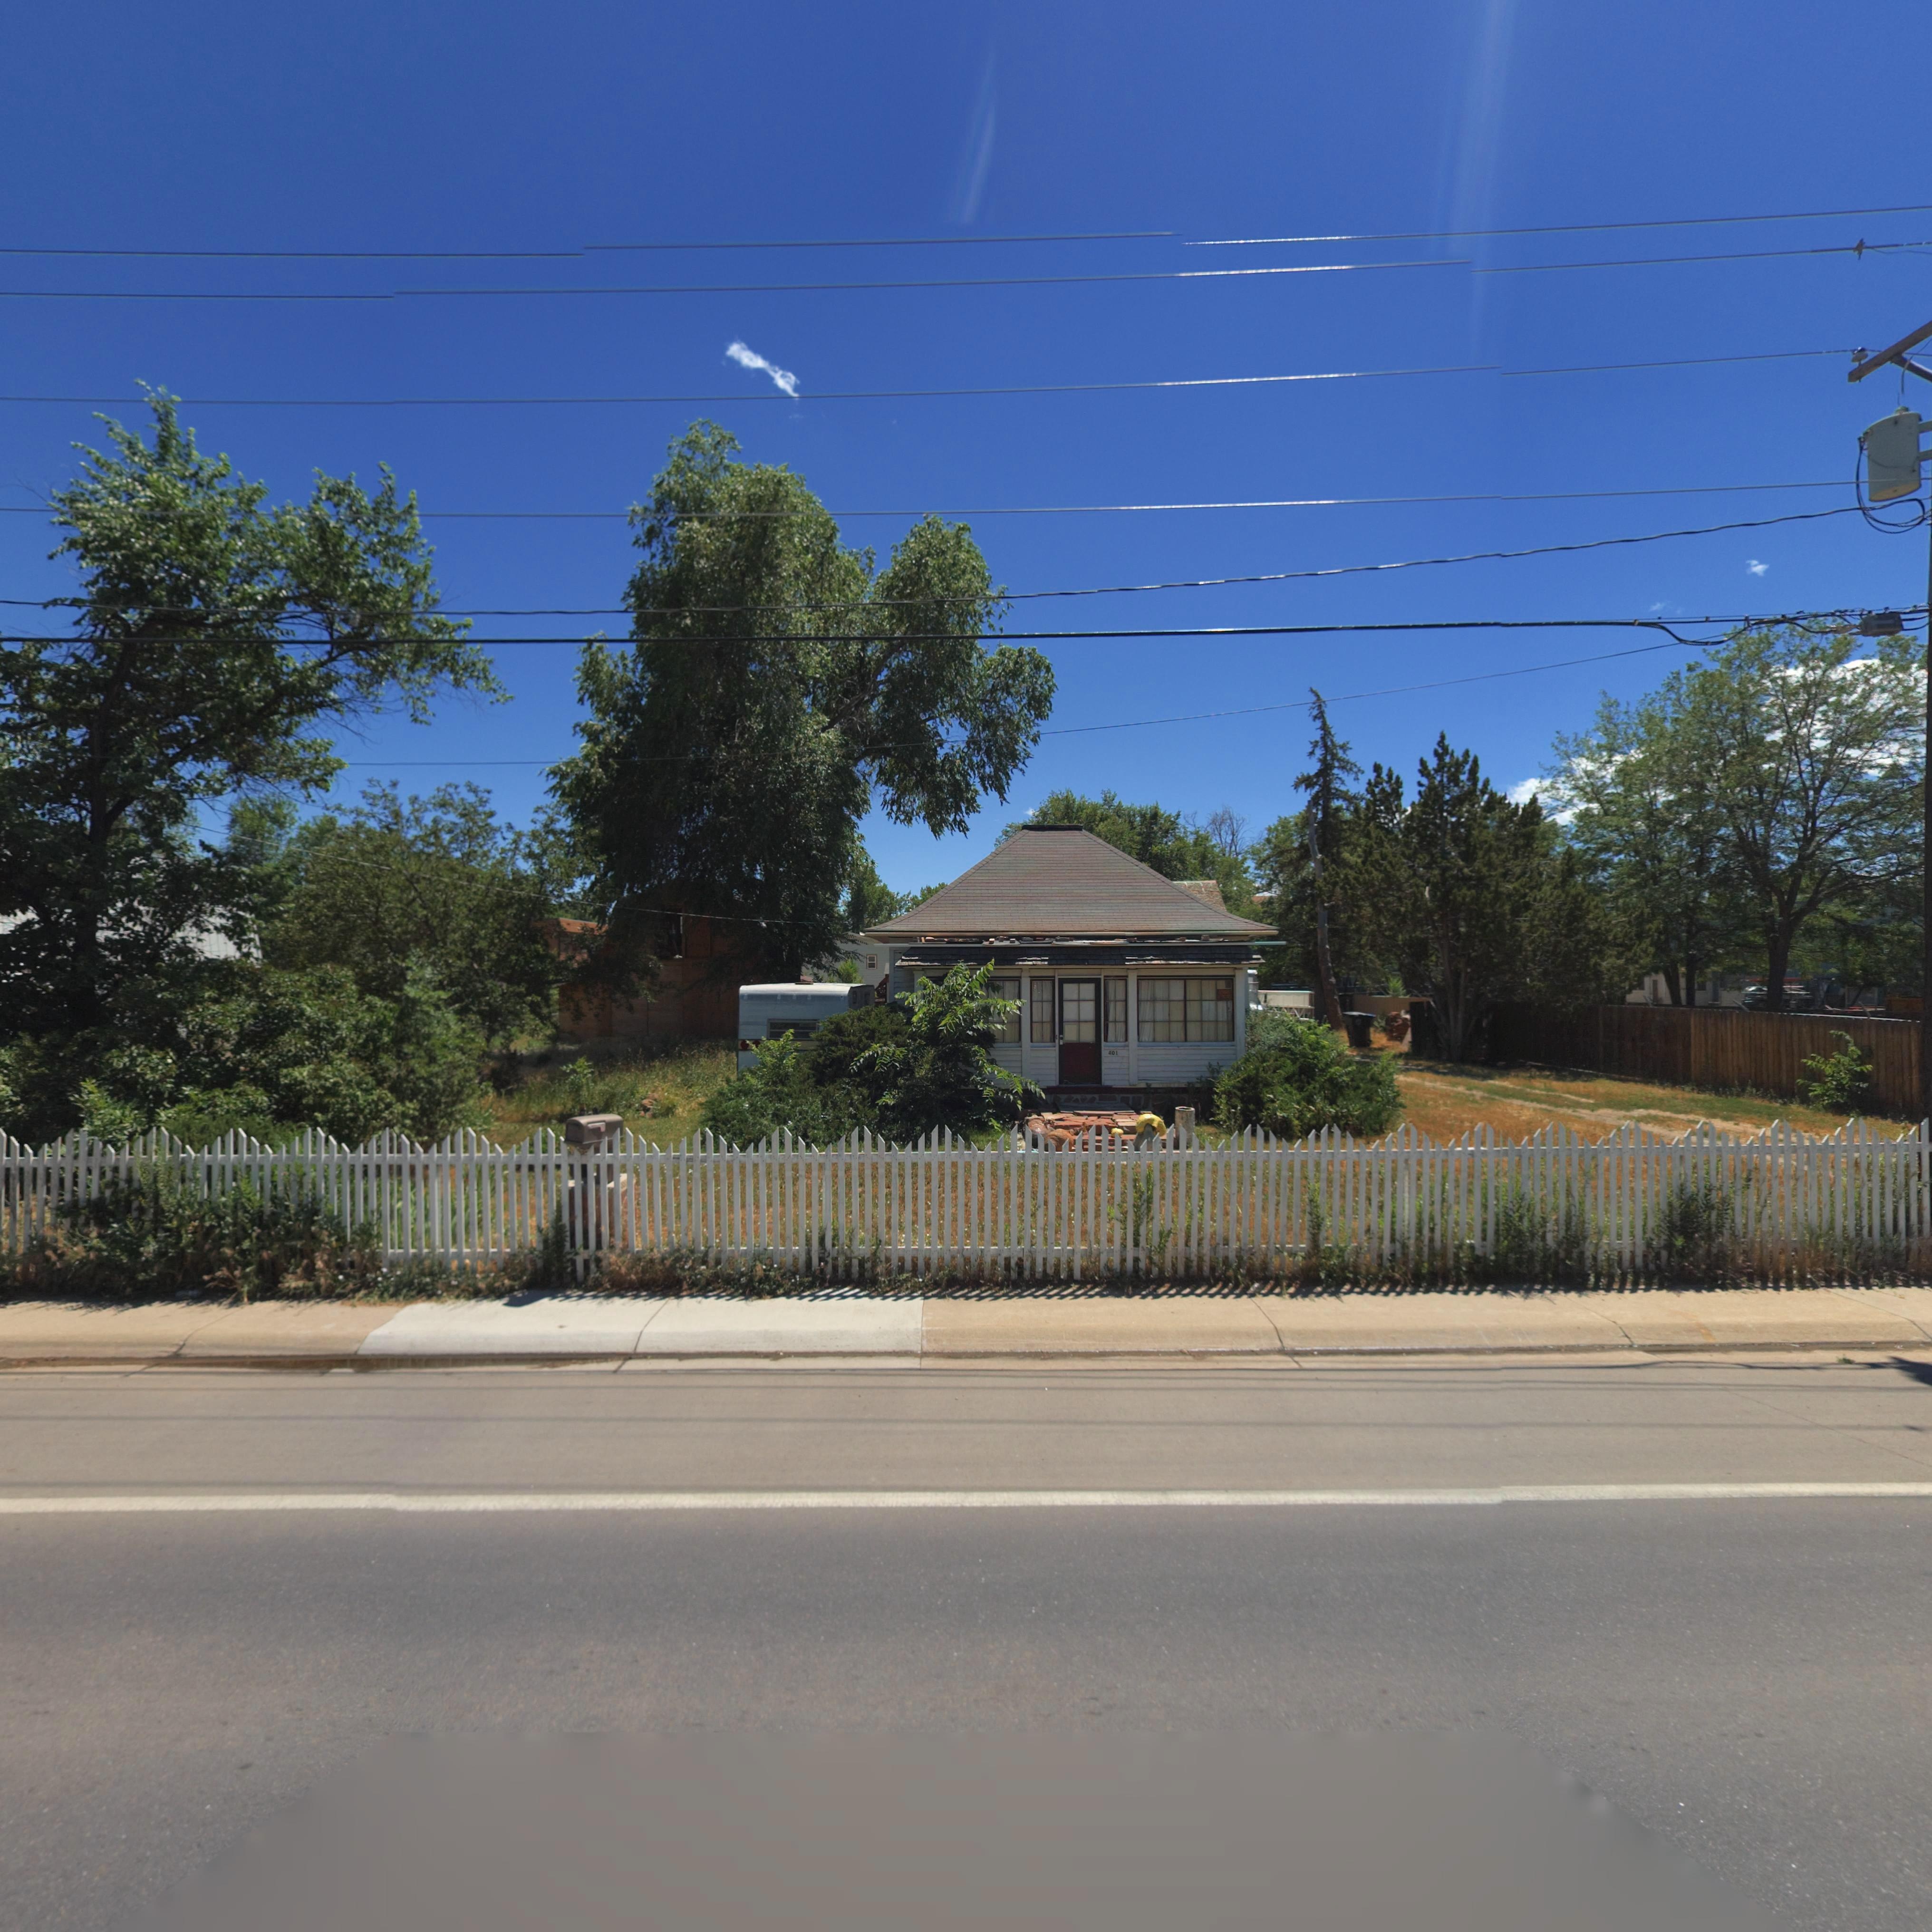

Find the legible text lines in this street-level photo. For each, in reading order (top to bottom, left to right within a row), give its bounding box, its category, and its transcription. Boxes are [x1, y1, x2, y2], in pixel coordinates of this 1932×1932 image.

[1108, 1050, 1118, 1055] StreetNumber: 401